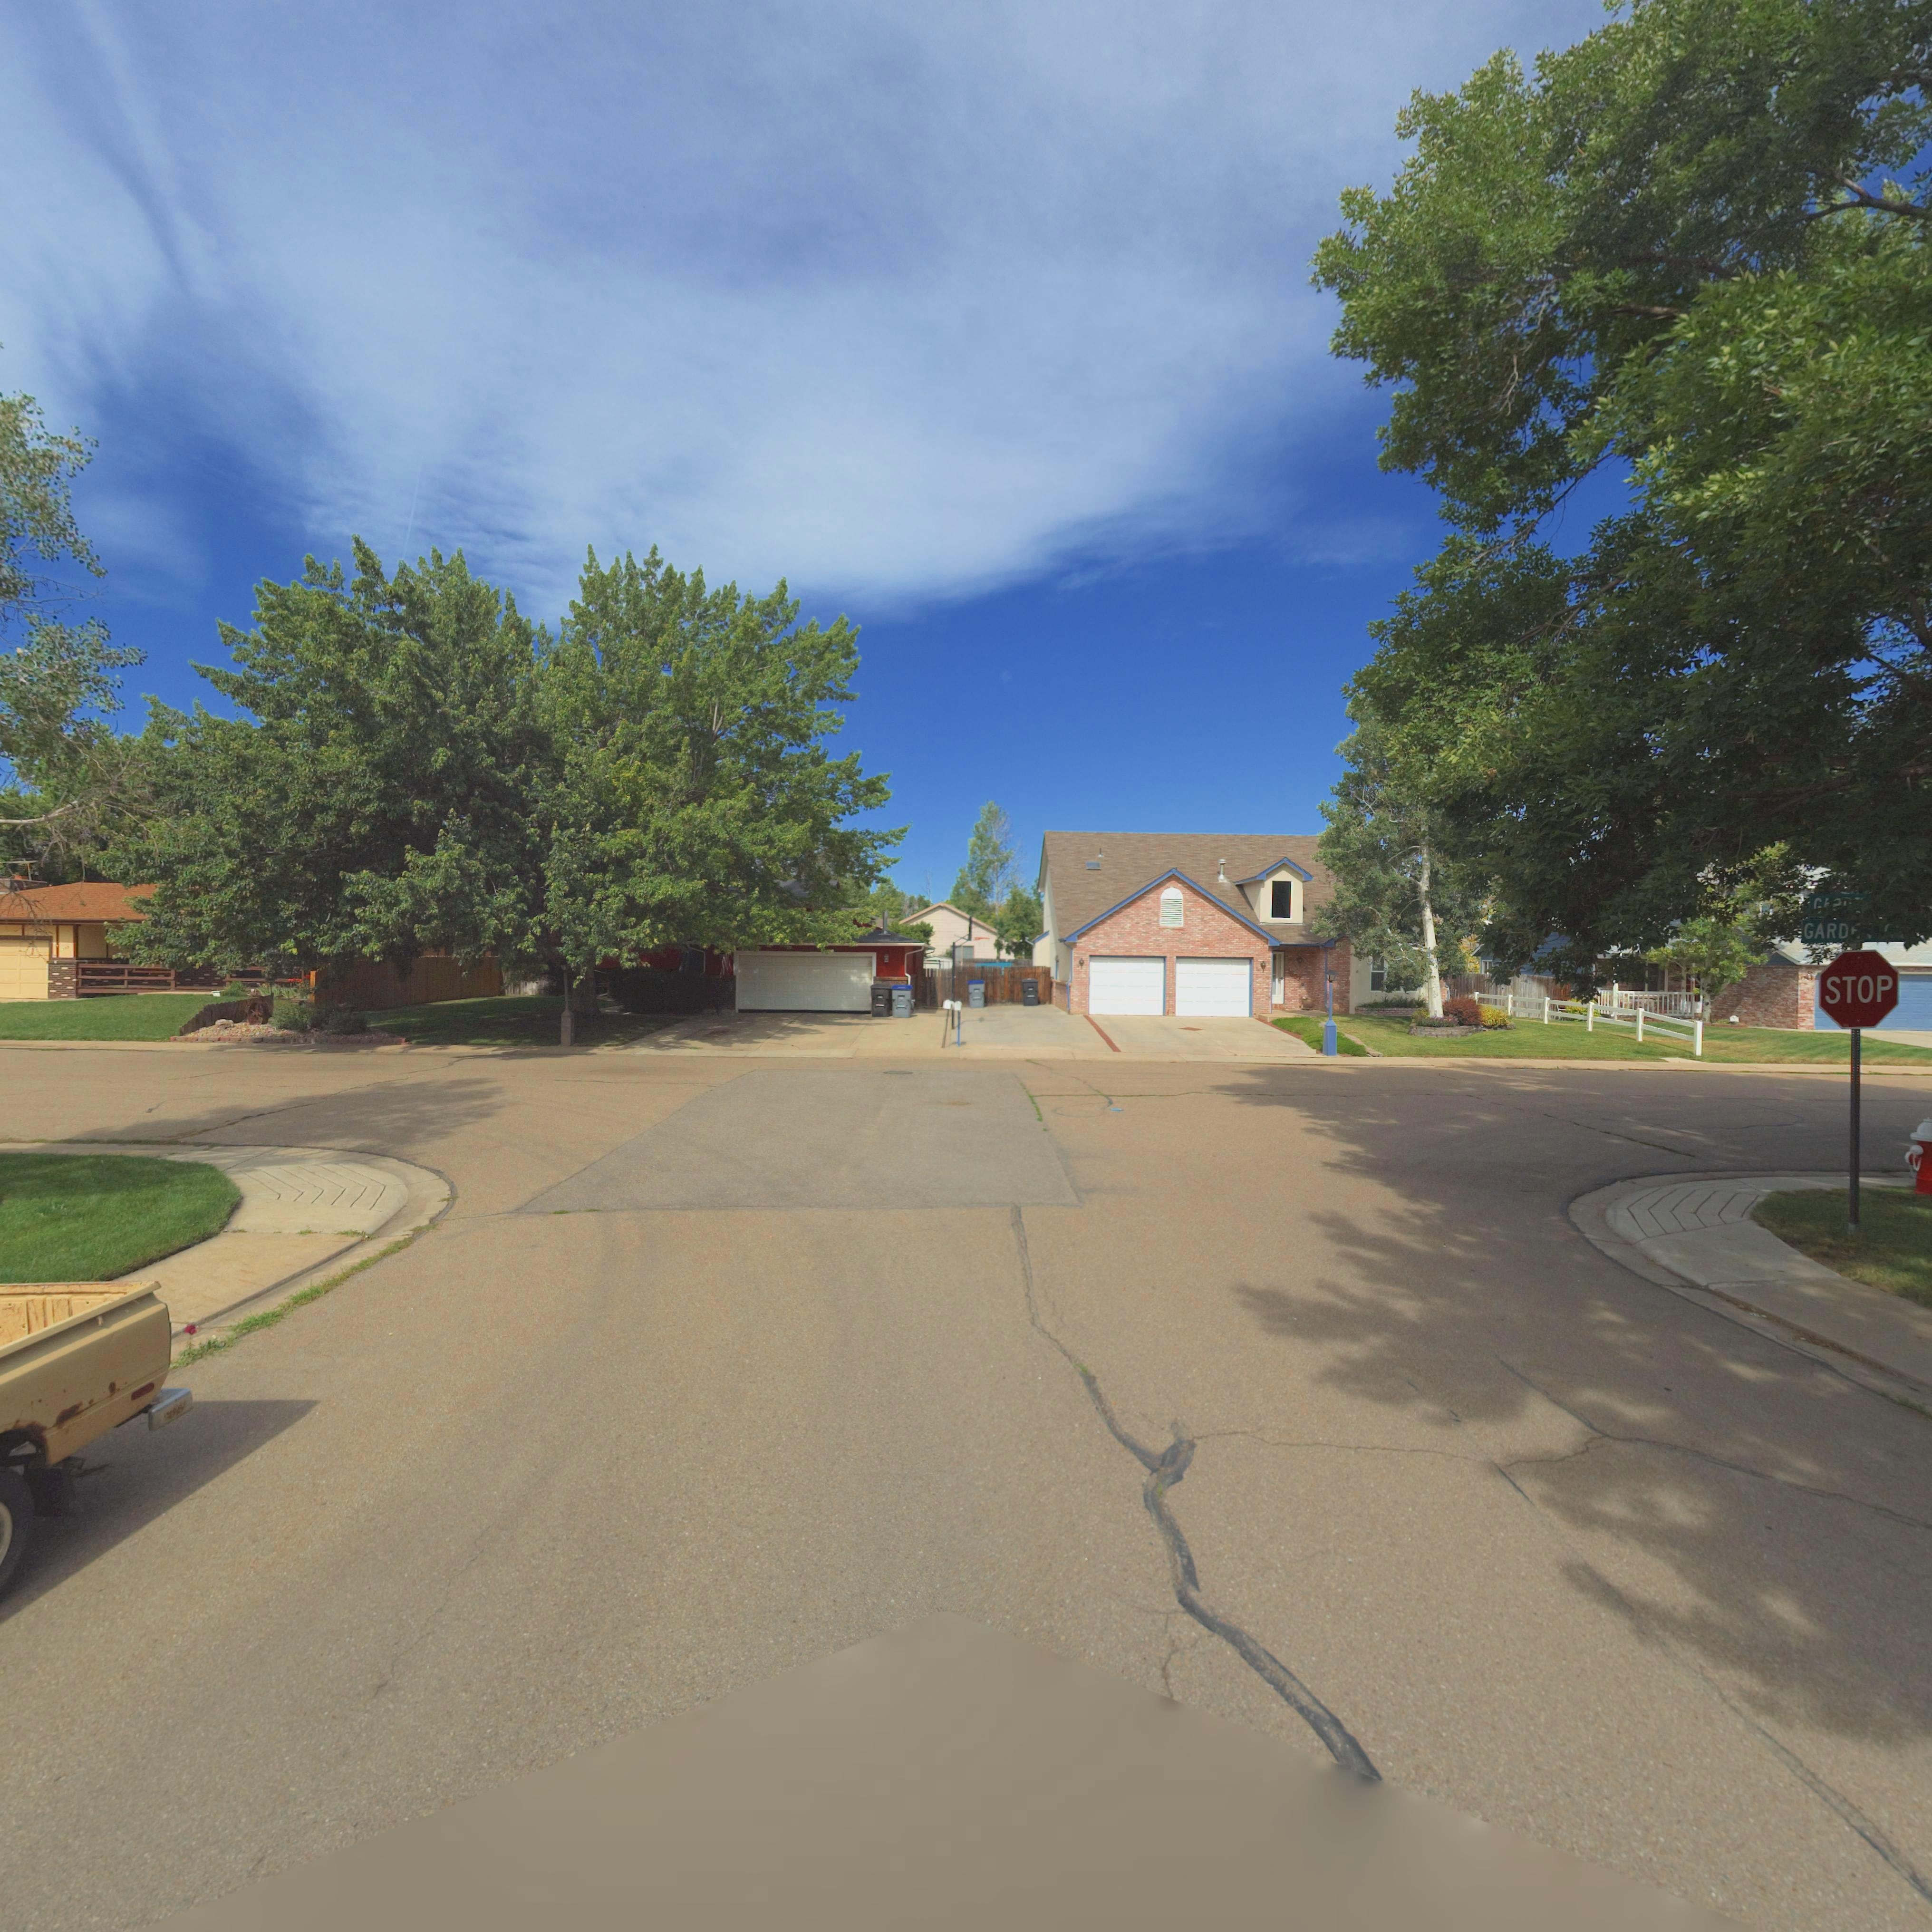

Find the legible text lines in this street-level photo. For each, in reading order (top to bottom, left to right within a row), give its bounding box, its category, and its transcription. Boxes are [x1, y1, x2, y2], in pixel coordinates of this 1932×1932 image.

[1803, 922, 1849, 939] StreetName: GARD
[1287, 967, 1302, 982] StreetNumber: 1**7